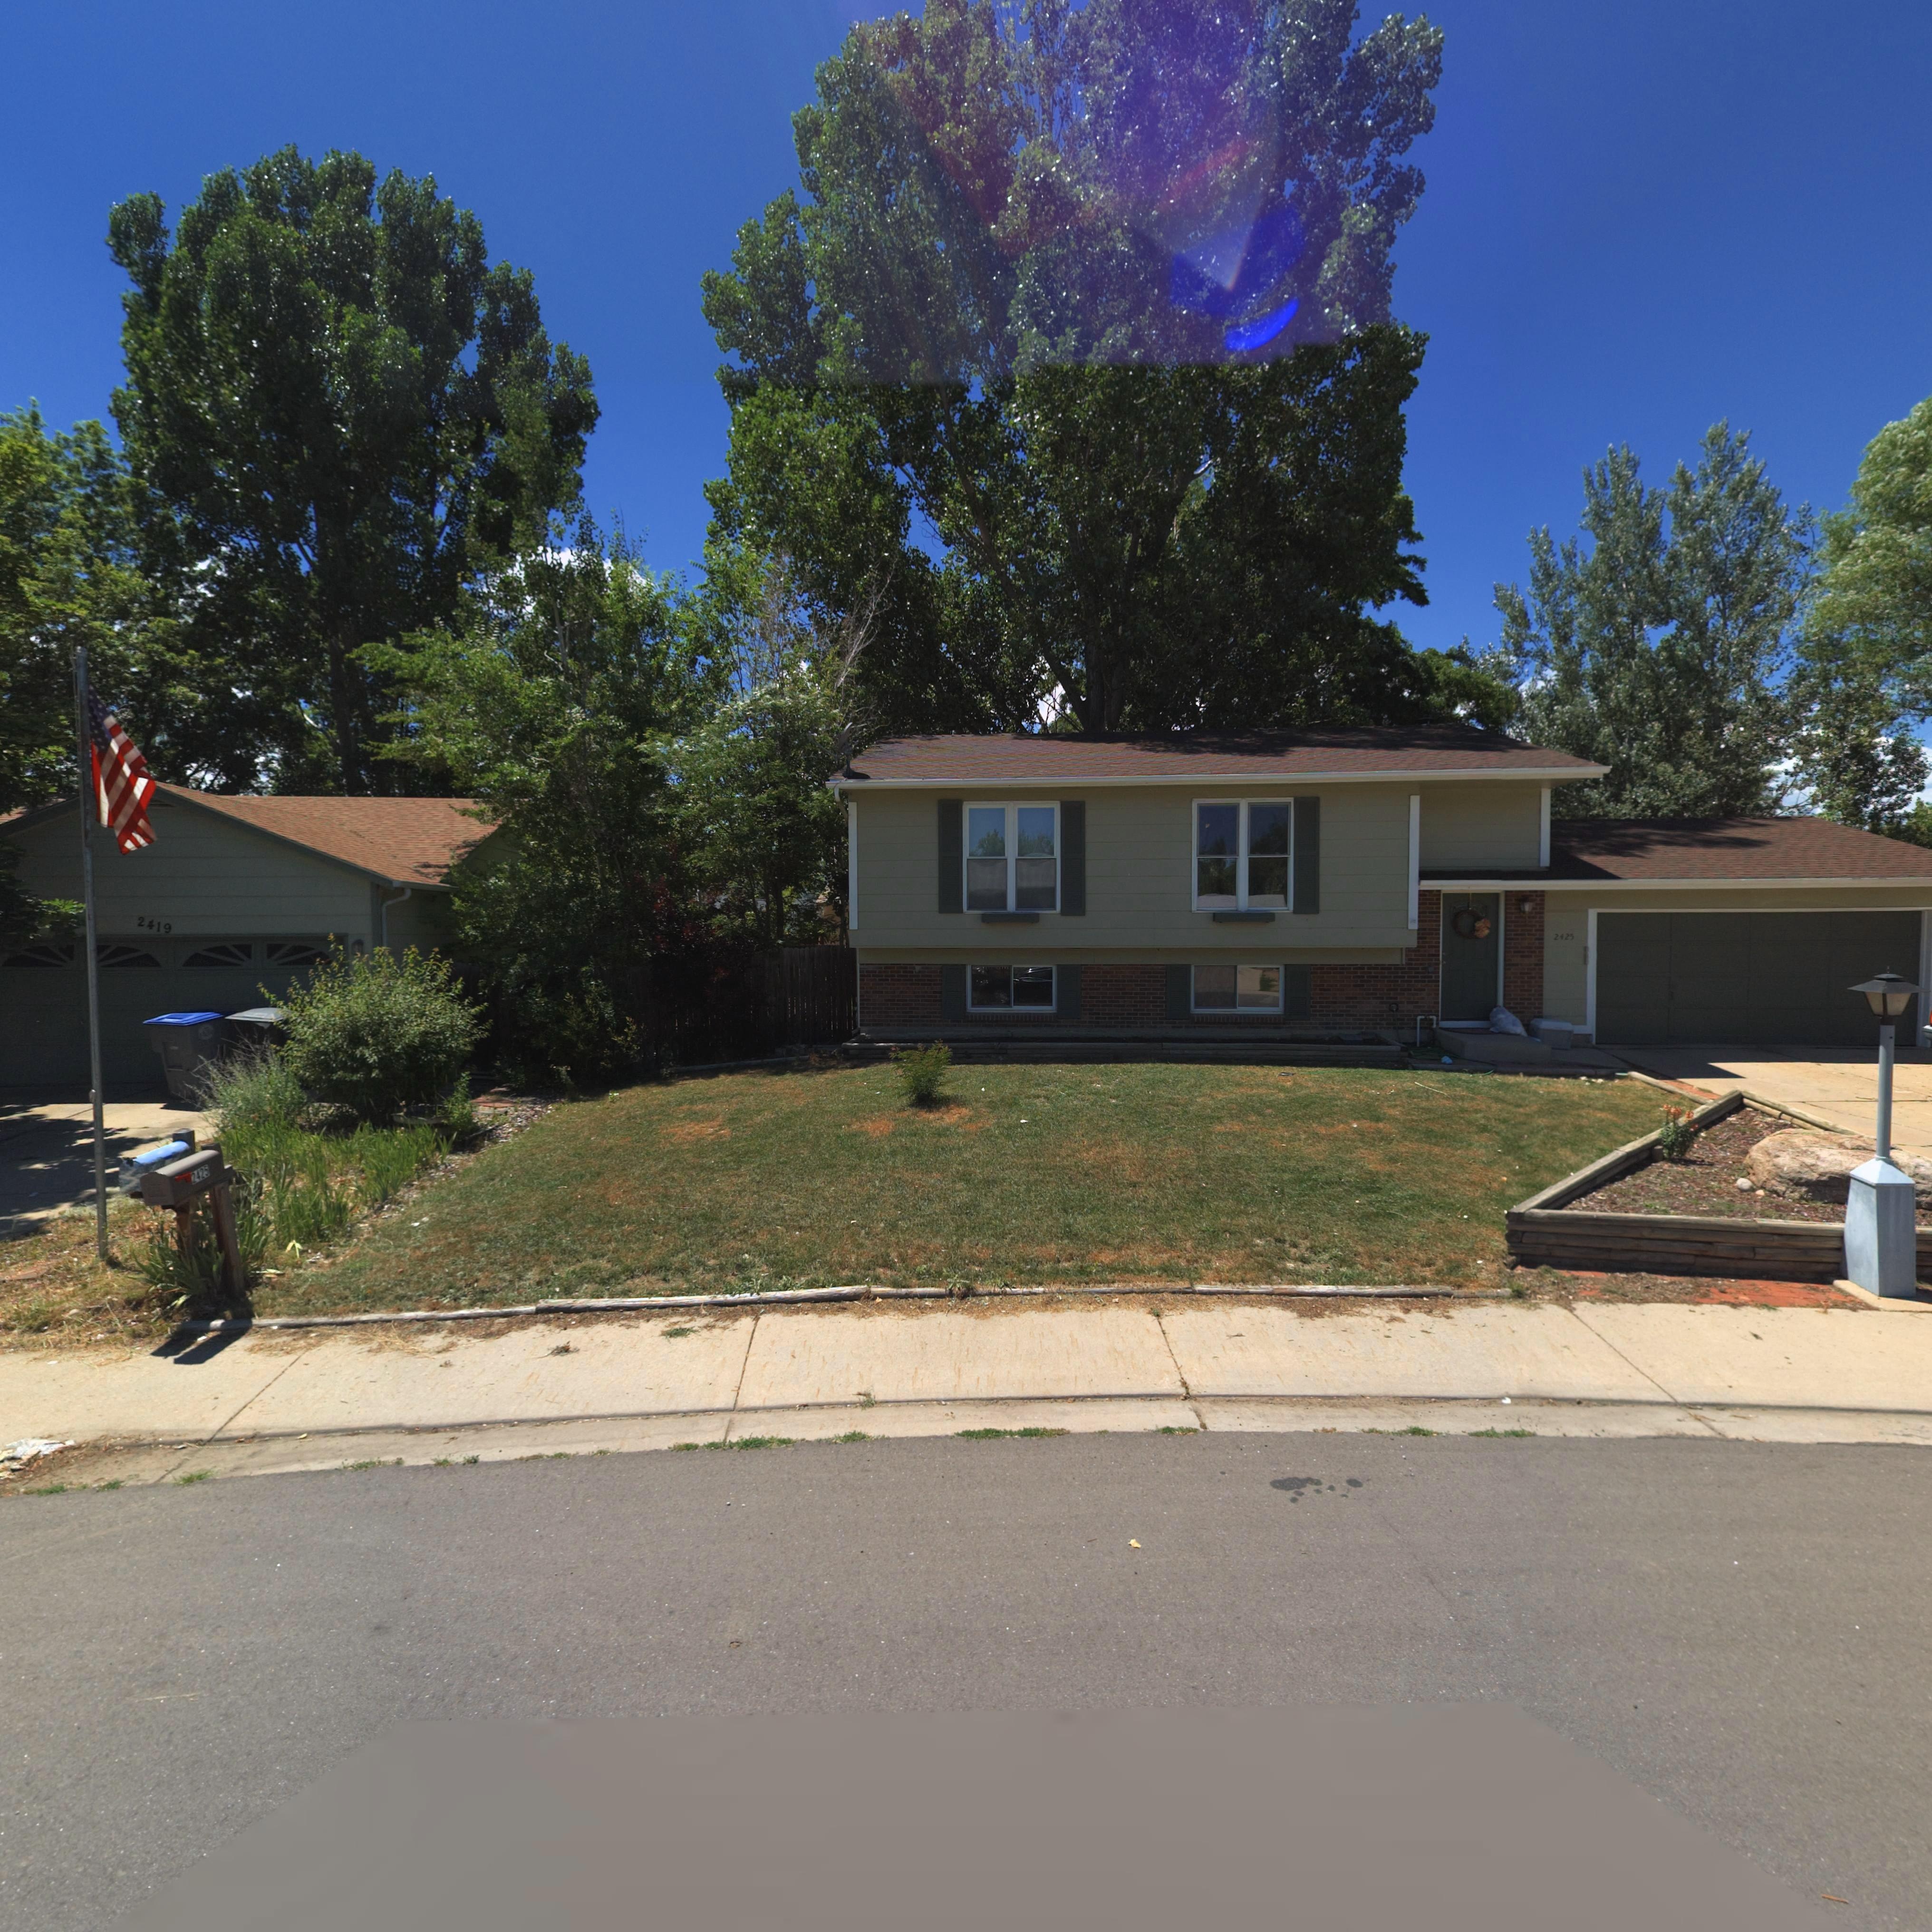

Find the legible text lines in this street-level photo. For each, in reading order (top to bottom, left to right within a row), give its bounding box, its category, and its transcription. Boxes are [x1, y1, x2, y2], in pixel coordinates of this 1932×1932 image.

[135, 915, 173, 935] StreetNumber: 2419
[1553, 932, 1575, 940] StreetNumber: 2425
[190, 1164, 211, 1185] StreetNumber: 2425